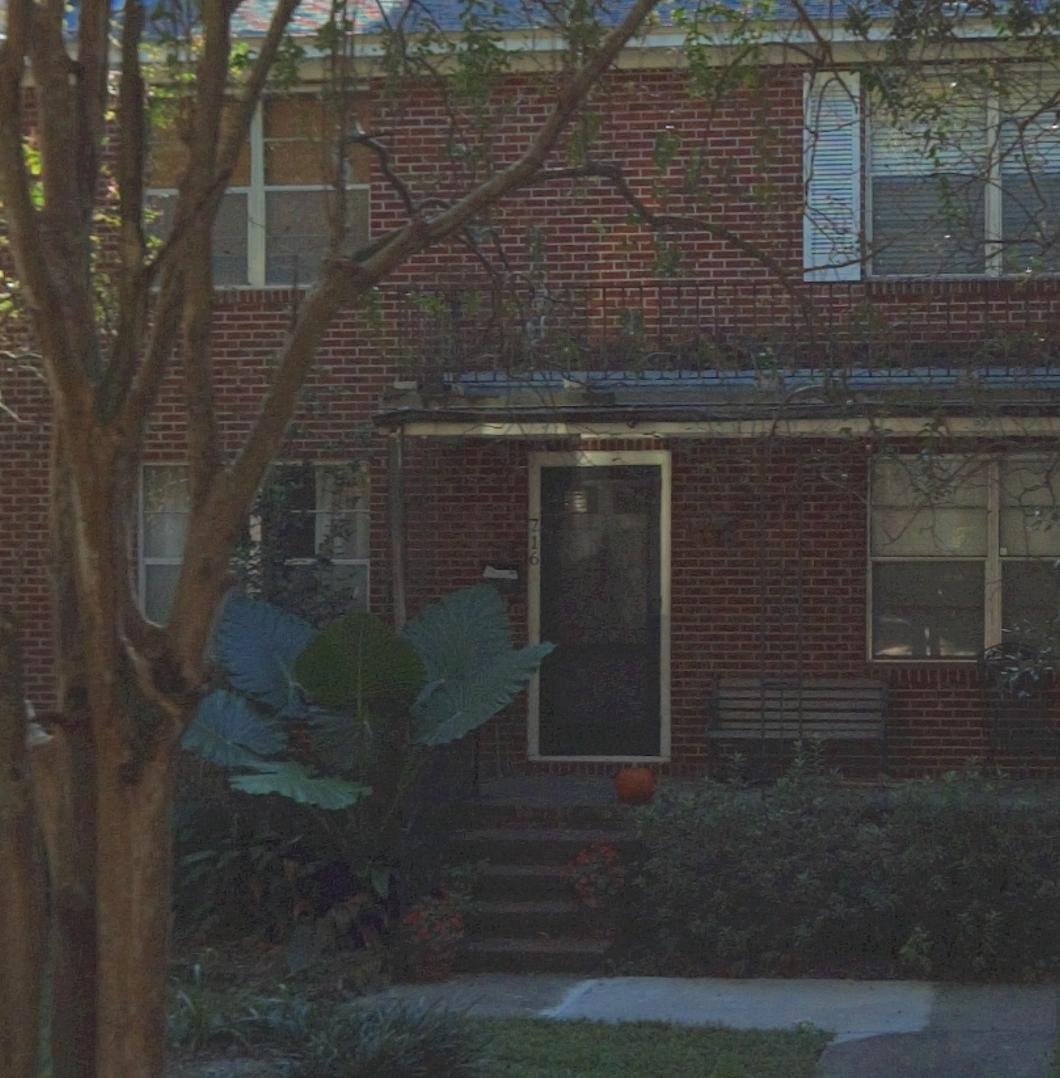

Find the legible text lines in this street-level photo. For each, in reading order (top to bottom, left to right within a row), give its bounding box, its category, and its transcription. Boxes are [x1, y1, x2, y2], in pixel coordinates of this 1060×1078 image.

[527, 516, 541, 568] StreetNumber: 716